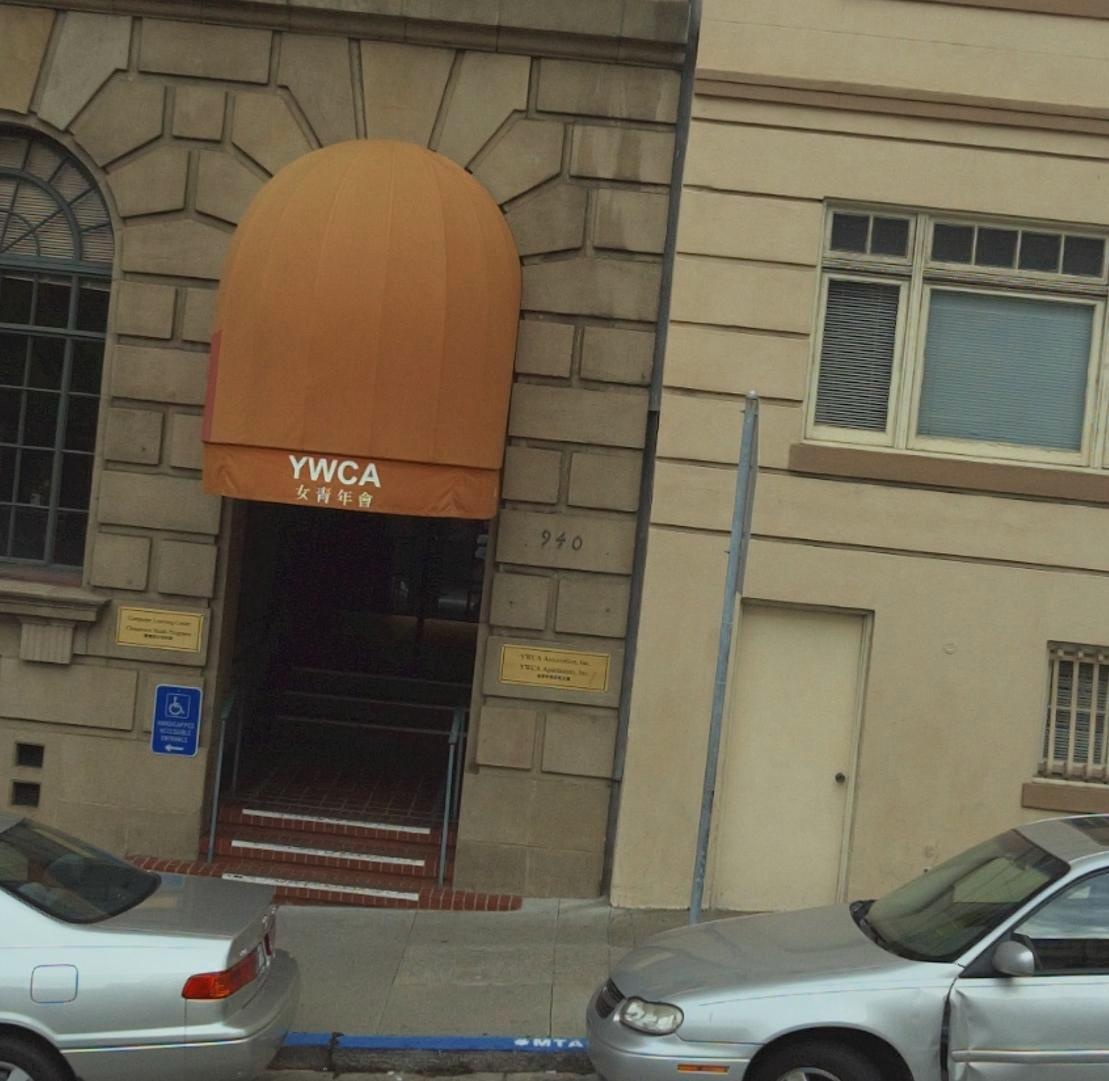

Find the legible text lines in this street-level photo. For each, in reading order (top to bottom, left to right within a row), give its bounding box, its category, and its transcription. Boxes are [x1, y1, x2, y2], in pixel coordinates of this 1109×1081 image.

[286, 452, 384, 490] BusinessName: YWCA
[539, 527, 587, 553] StreetNumber: 940
[532, 1037, 586, 1049] None: MTA